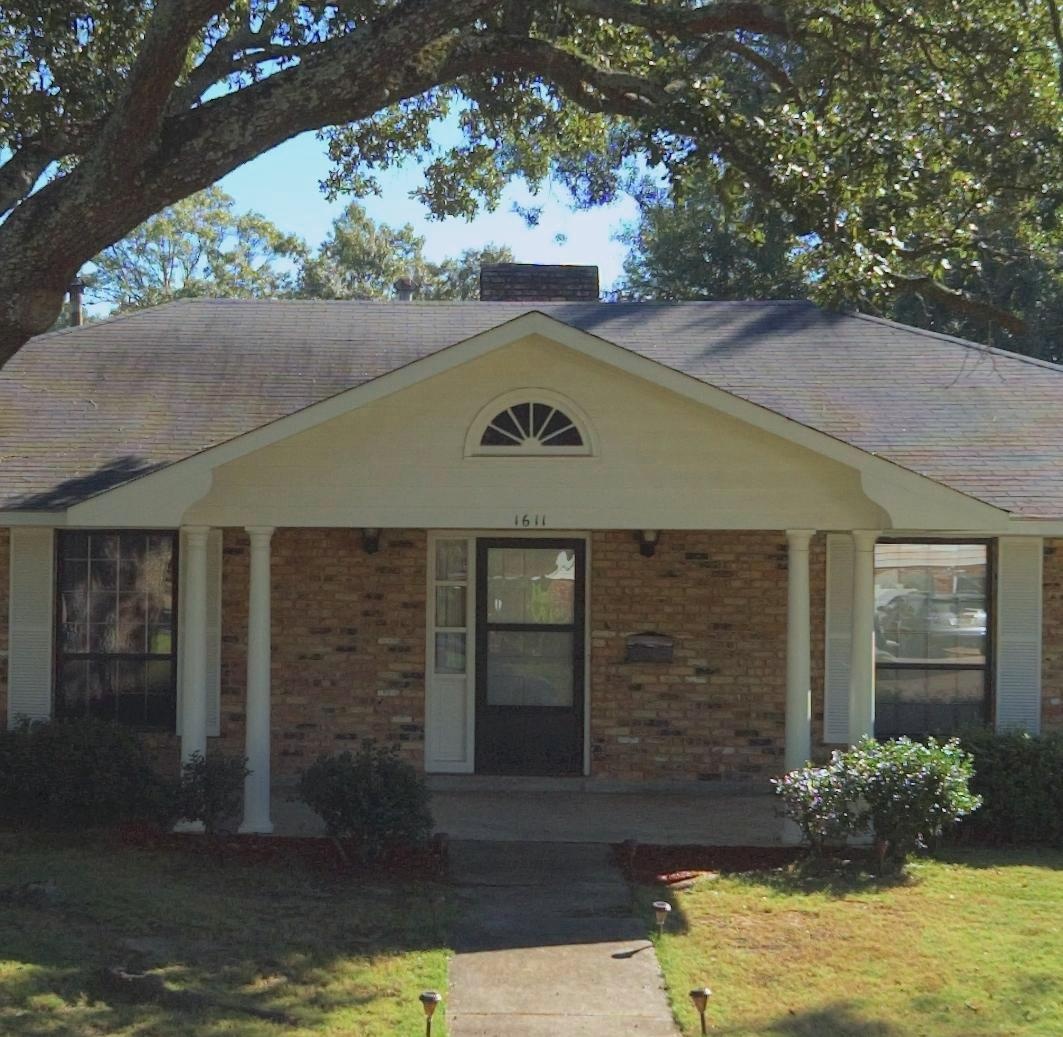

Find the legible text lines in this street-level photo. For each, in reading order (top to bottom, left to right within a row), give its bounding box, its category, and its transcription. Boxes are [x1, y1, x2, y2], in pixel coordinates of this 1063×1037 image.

[513, 511, 548, 529] StreetNumber: 1611